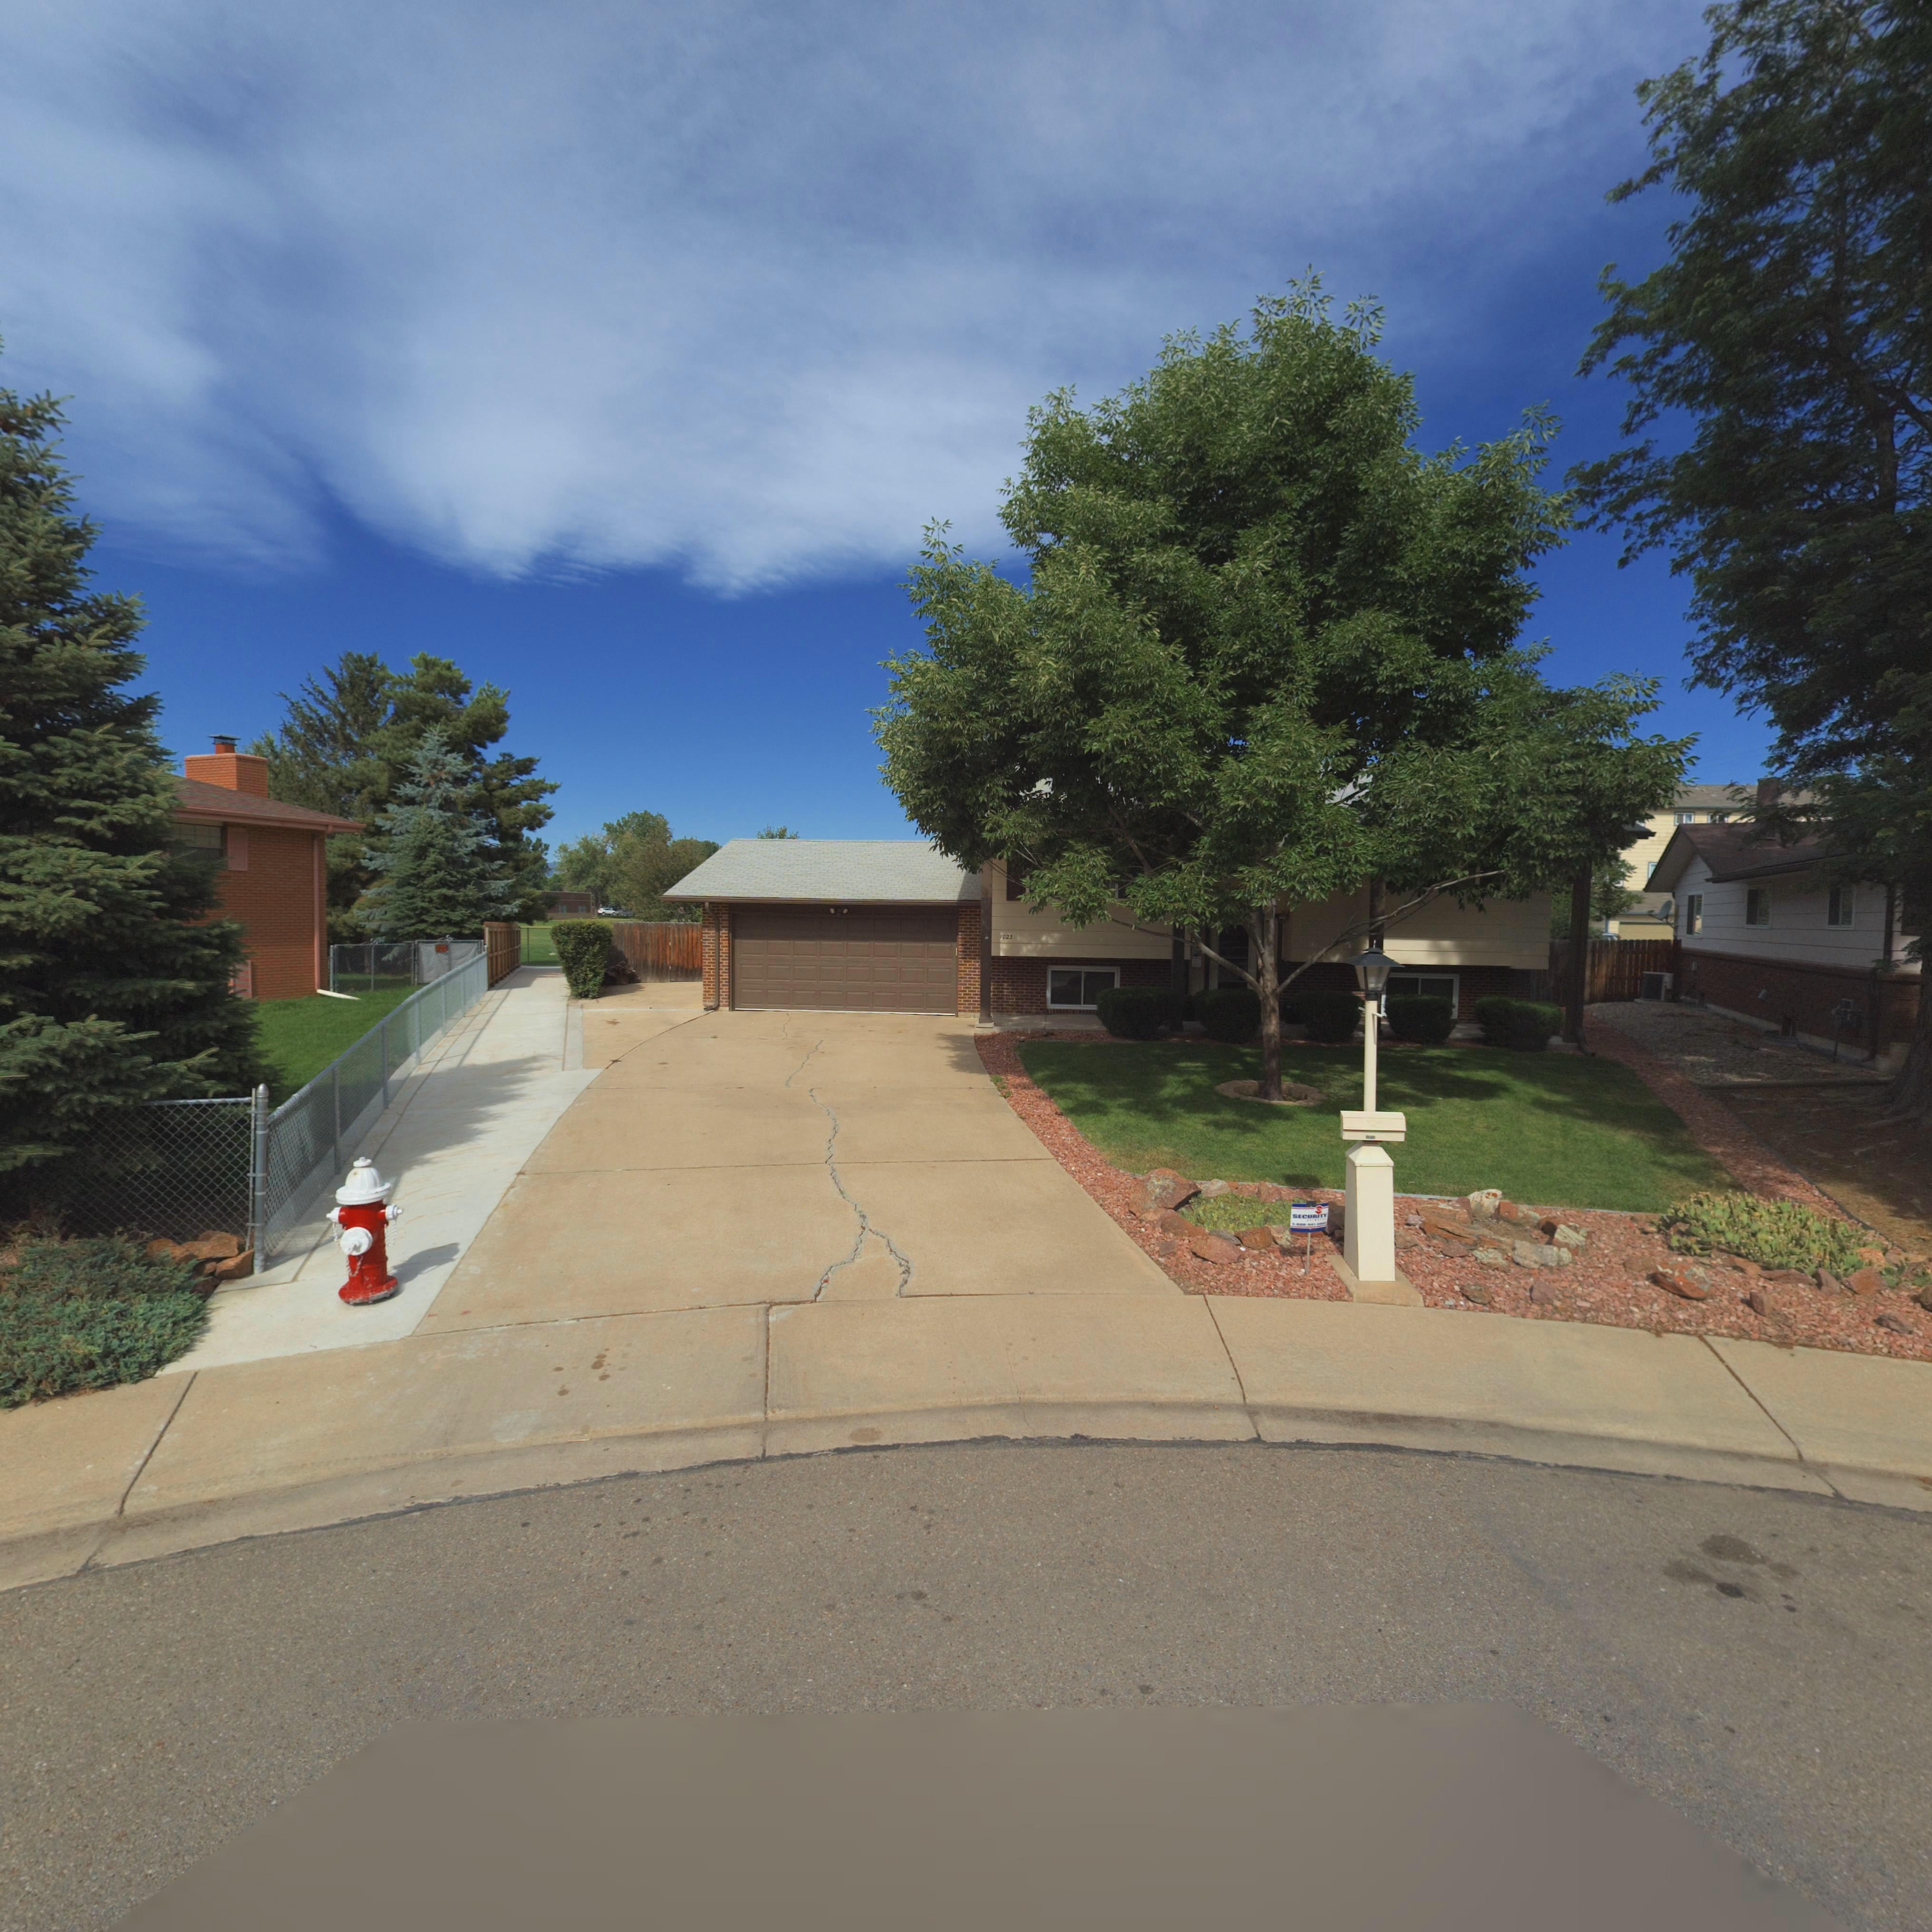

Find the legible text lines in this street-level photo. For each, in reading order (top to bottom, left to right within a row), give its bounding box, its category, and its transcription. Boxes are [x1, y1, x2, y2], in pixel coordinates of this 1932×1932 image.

[999, 934, 1012, 939] StreetNumber: 1023